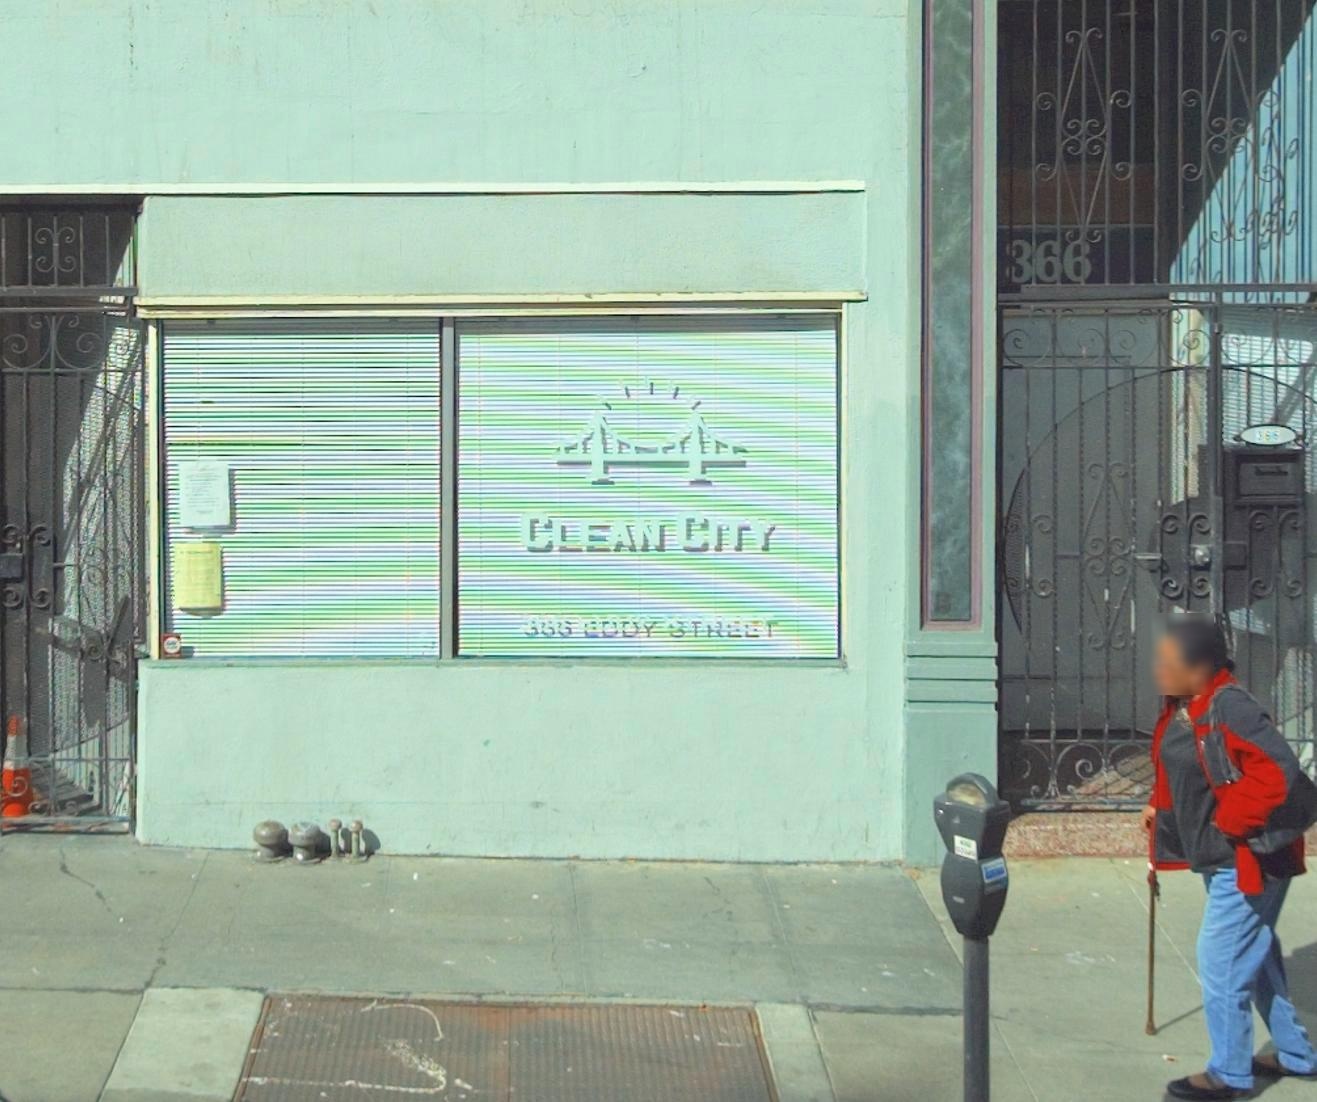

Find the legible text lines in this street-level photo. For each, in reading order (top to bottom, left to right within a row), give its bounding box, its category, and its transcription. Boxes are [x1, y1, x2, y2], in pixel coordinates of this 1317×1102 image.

[1001, 236, 1097, 287] StreetNumber: 366
[1254, 428, 1282, 444] StreetNumber: 3*6
[518, 509, 776, 555] BusinessName: CLEAN CITY